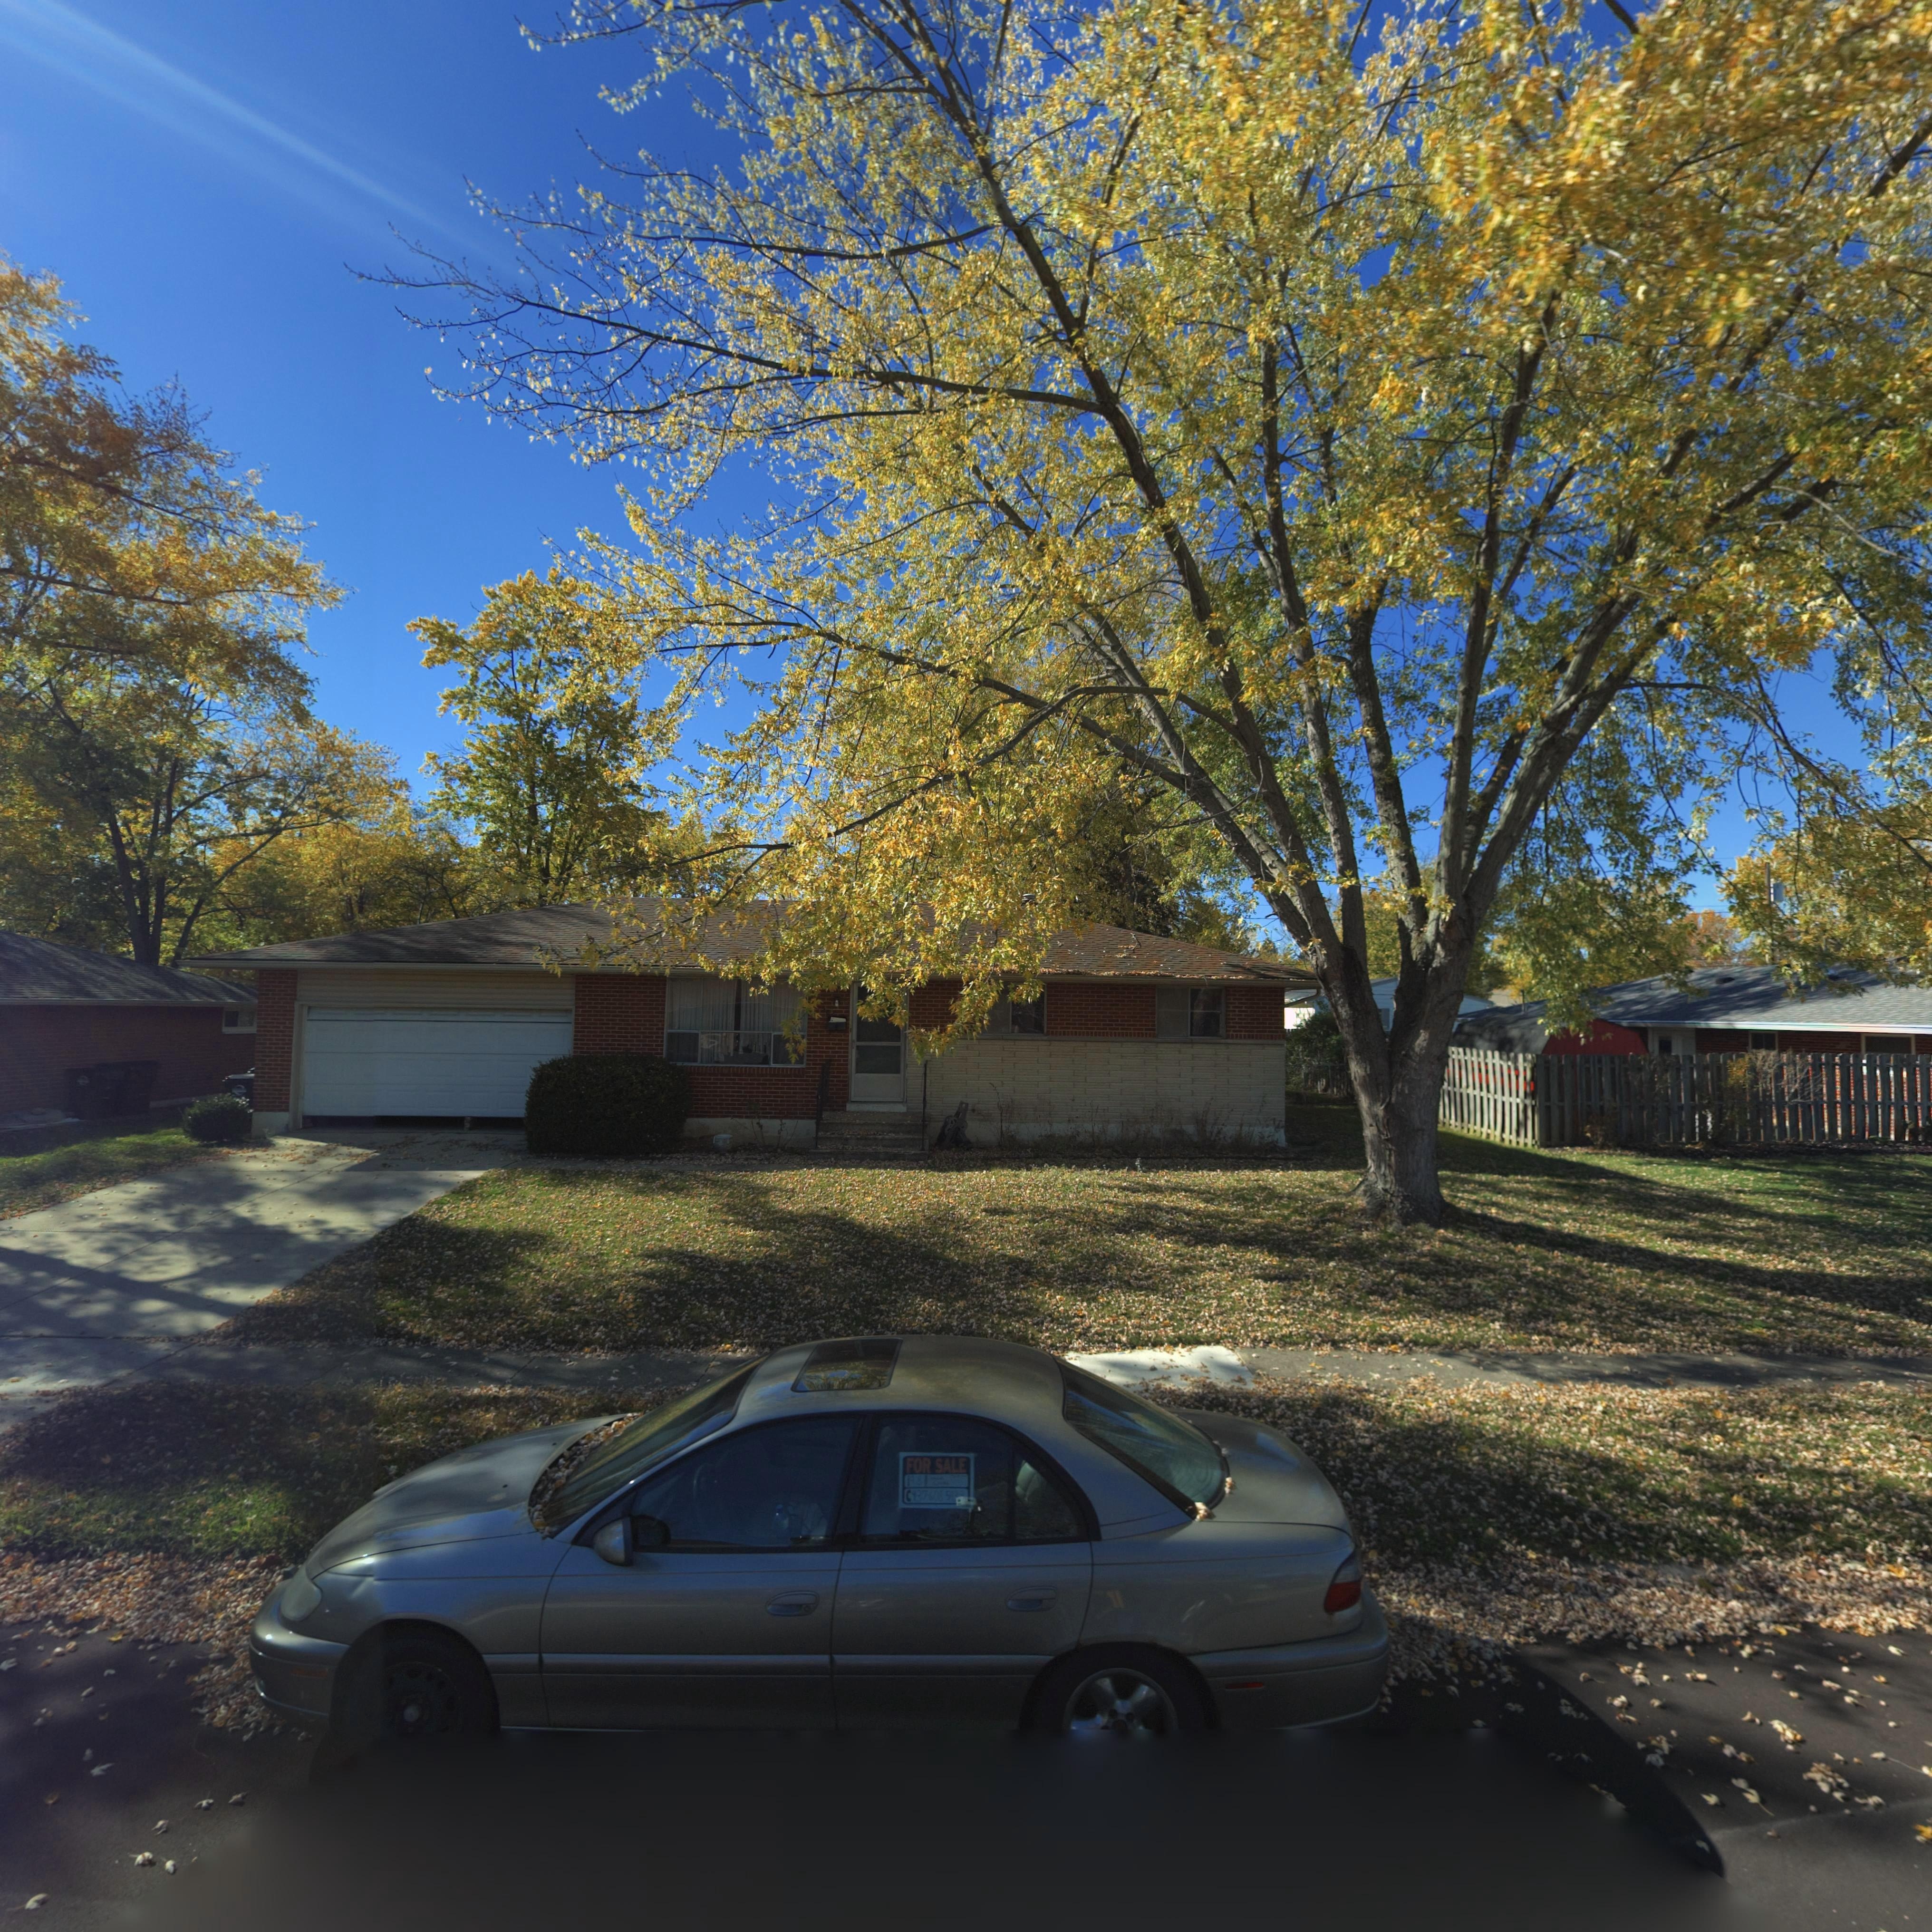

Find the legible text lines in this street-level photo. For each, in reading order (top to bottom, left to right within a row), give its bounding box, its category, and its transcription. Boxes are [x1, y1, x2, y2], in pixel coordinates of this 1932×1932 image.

[821, 1006, 838, 1017] StreetNumber: 208